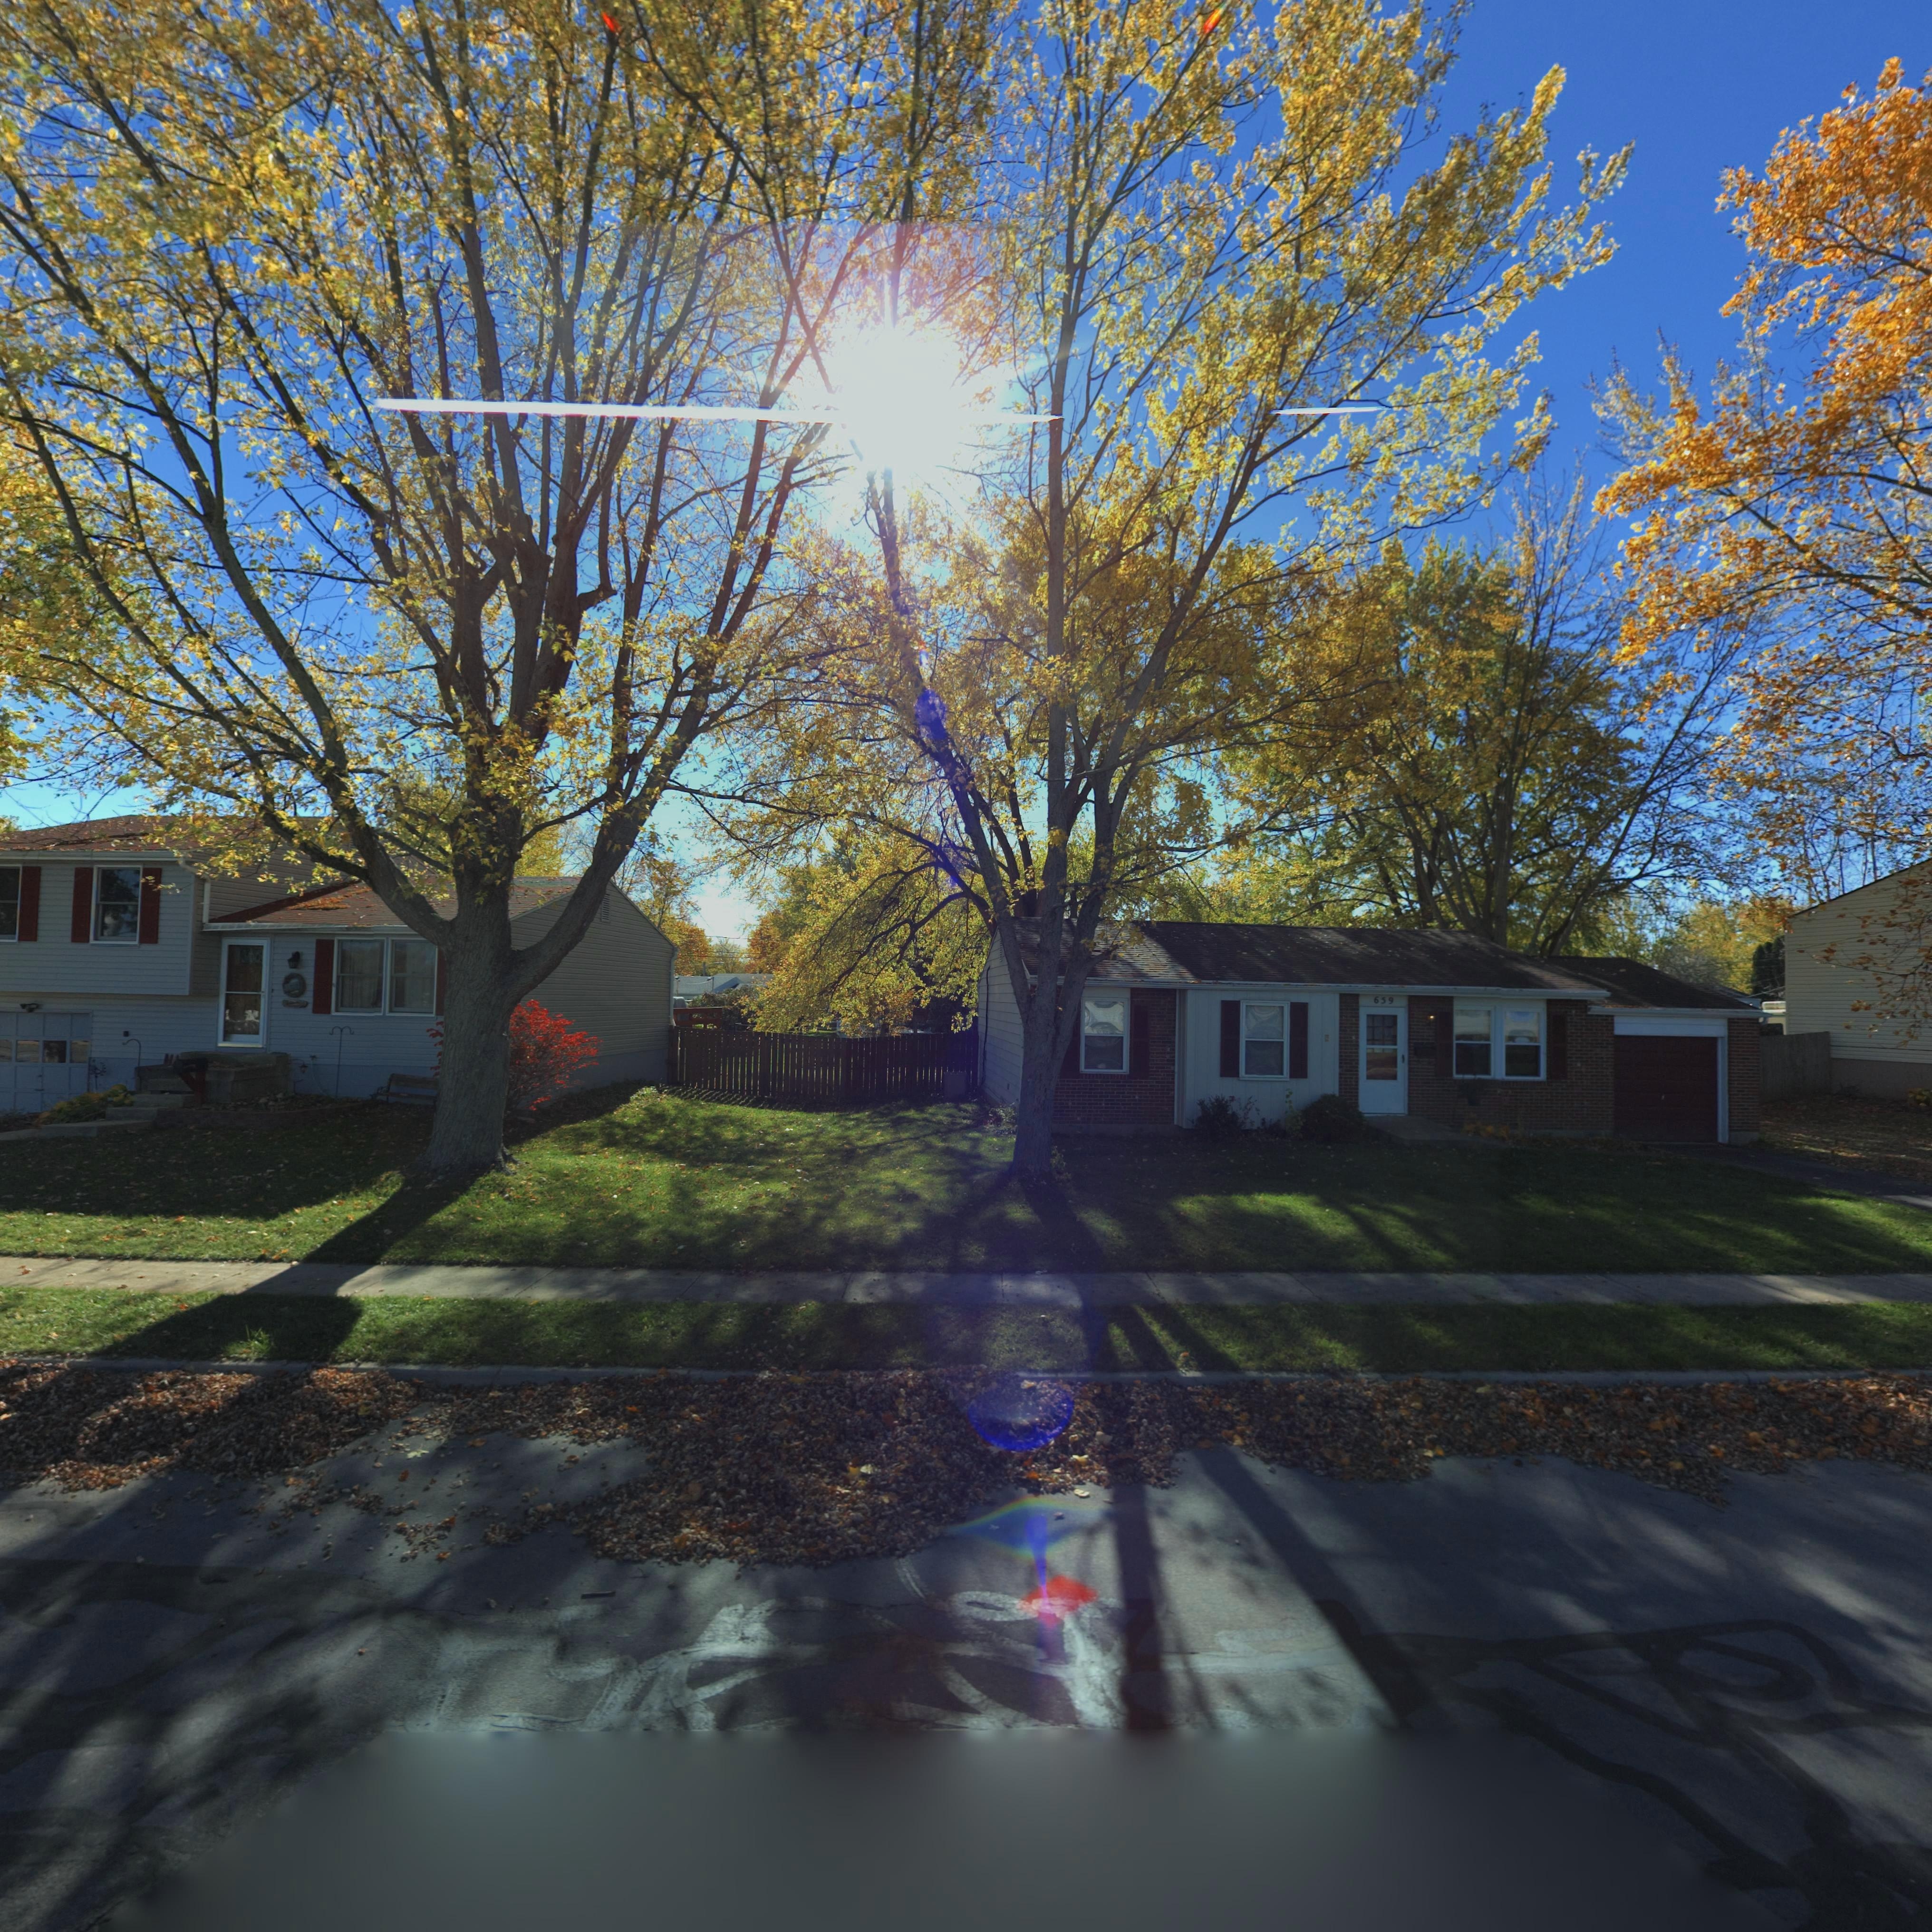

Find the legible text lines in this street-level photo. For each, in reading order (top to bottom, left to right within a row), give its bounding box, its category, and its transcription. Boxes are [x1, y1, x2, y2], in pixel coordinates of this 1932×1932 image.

[289, 983, 299, 993] StreetNumber: 57
[1373, 995, 1394, 1005] StreetNumber: 659